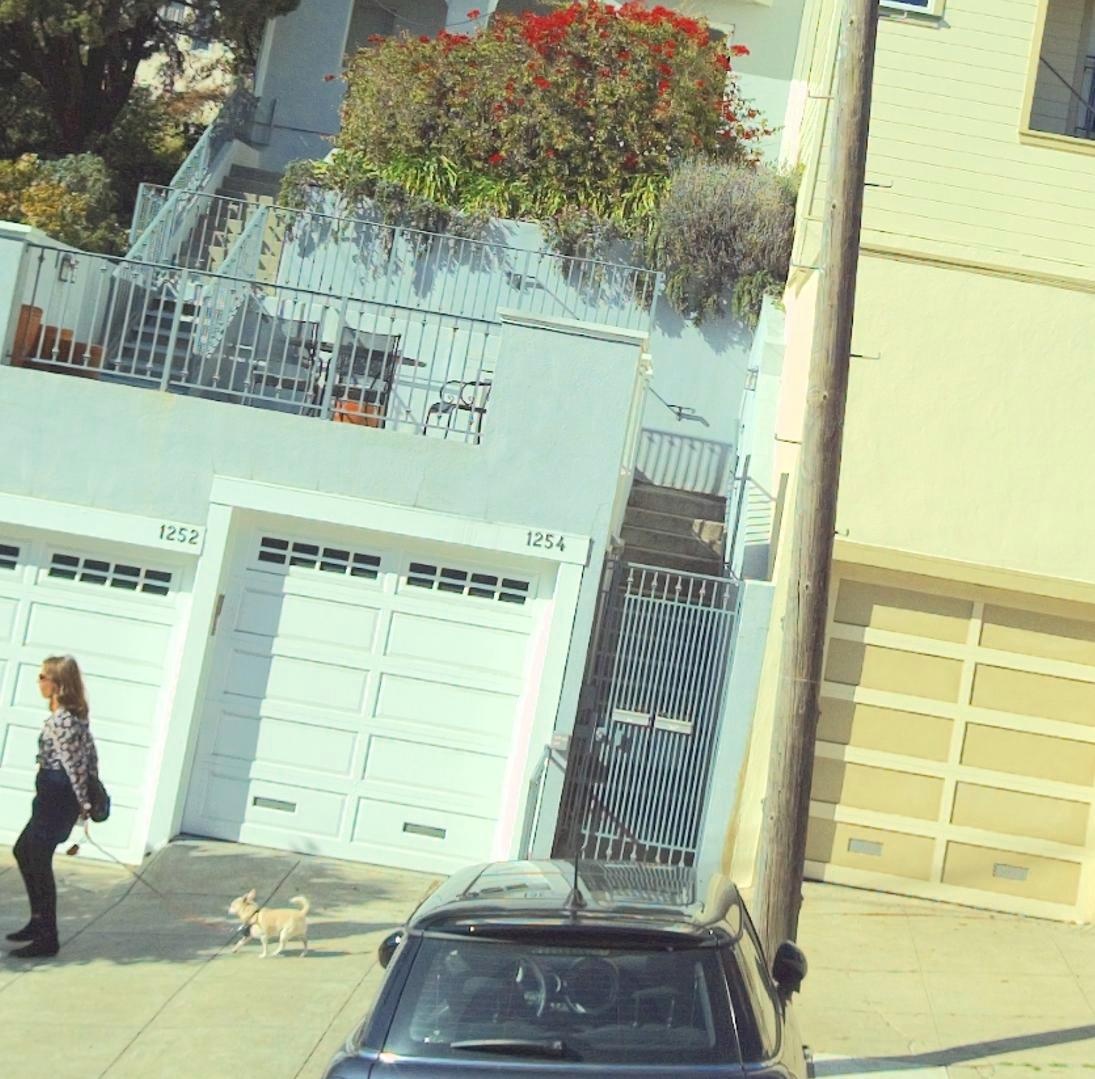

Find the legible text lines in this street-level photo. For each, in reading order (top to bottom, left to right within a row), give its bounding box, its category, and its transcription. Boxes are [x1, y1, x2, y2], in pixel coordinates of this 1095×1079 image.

[156, 521, 201, 548] StreetNumber: 1252
[524, 527, 568, 554] StreetNumber: 1254